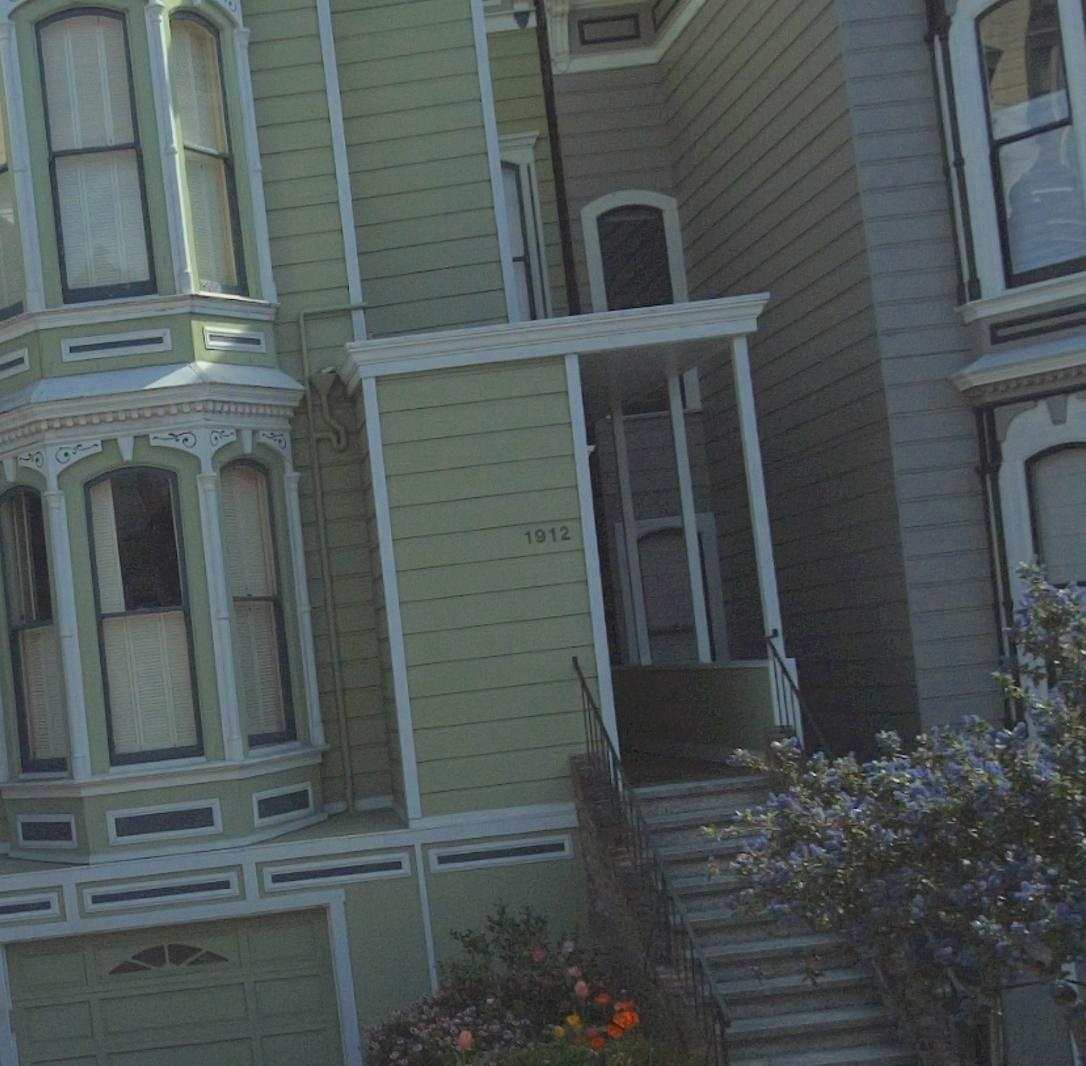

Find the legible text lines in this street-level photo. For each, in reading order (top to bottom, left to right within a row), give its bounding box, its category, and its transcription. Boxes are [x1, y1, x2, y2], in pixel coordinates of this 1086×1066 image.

[521, 522, 573, 547] StreetNumber: 1912